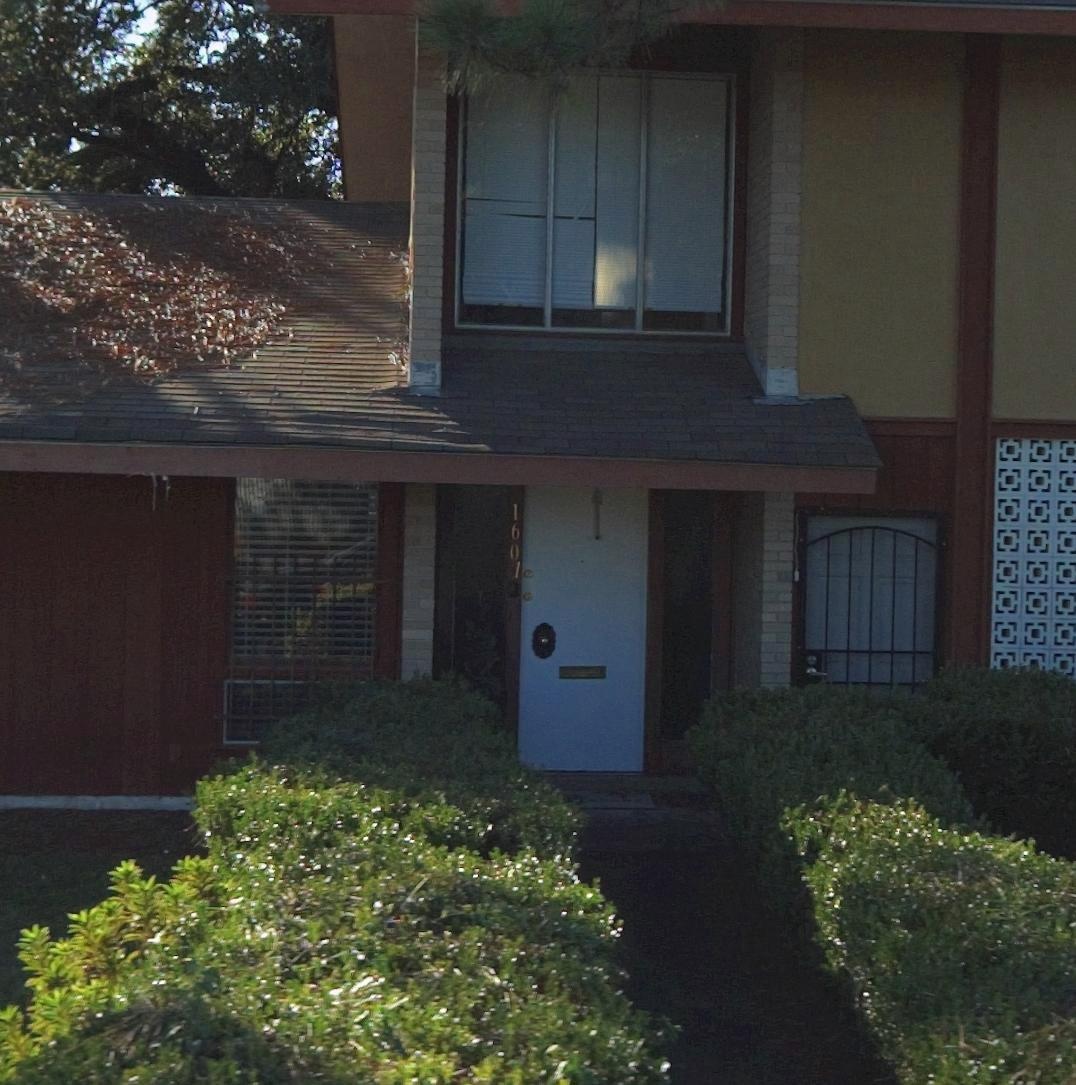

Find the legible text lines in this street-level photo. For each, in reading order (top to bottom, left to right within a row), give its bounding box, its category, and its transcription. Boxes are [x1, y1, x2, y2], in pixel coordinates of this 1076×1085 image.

[507, 502, 523, 582] StreetNumber: 1601